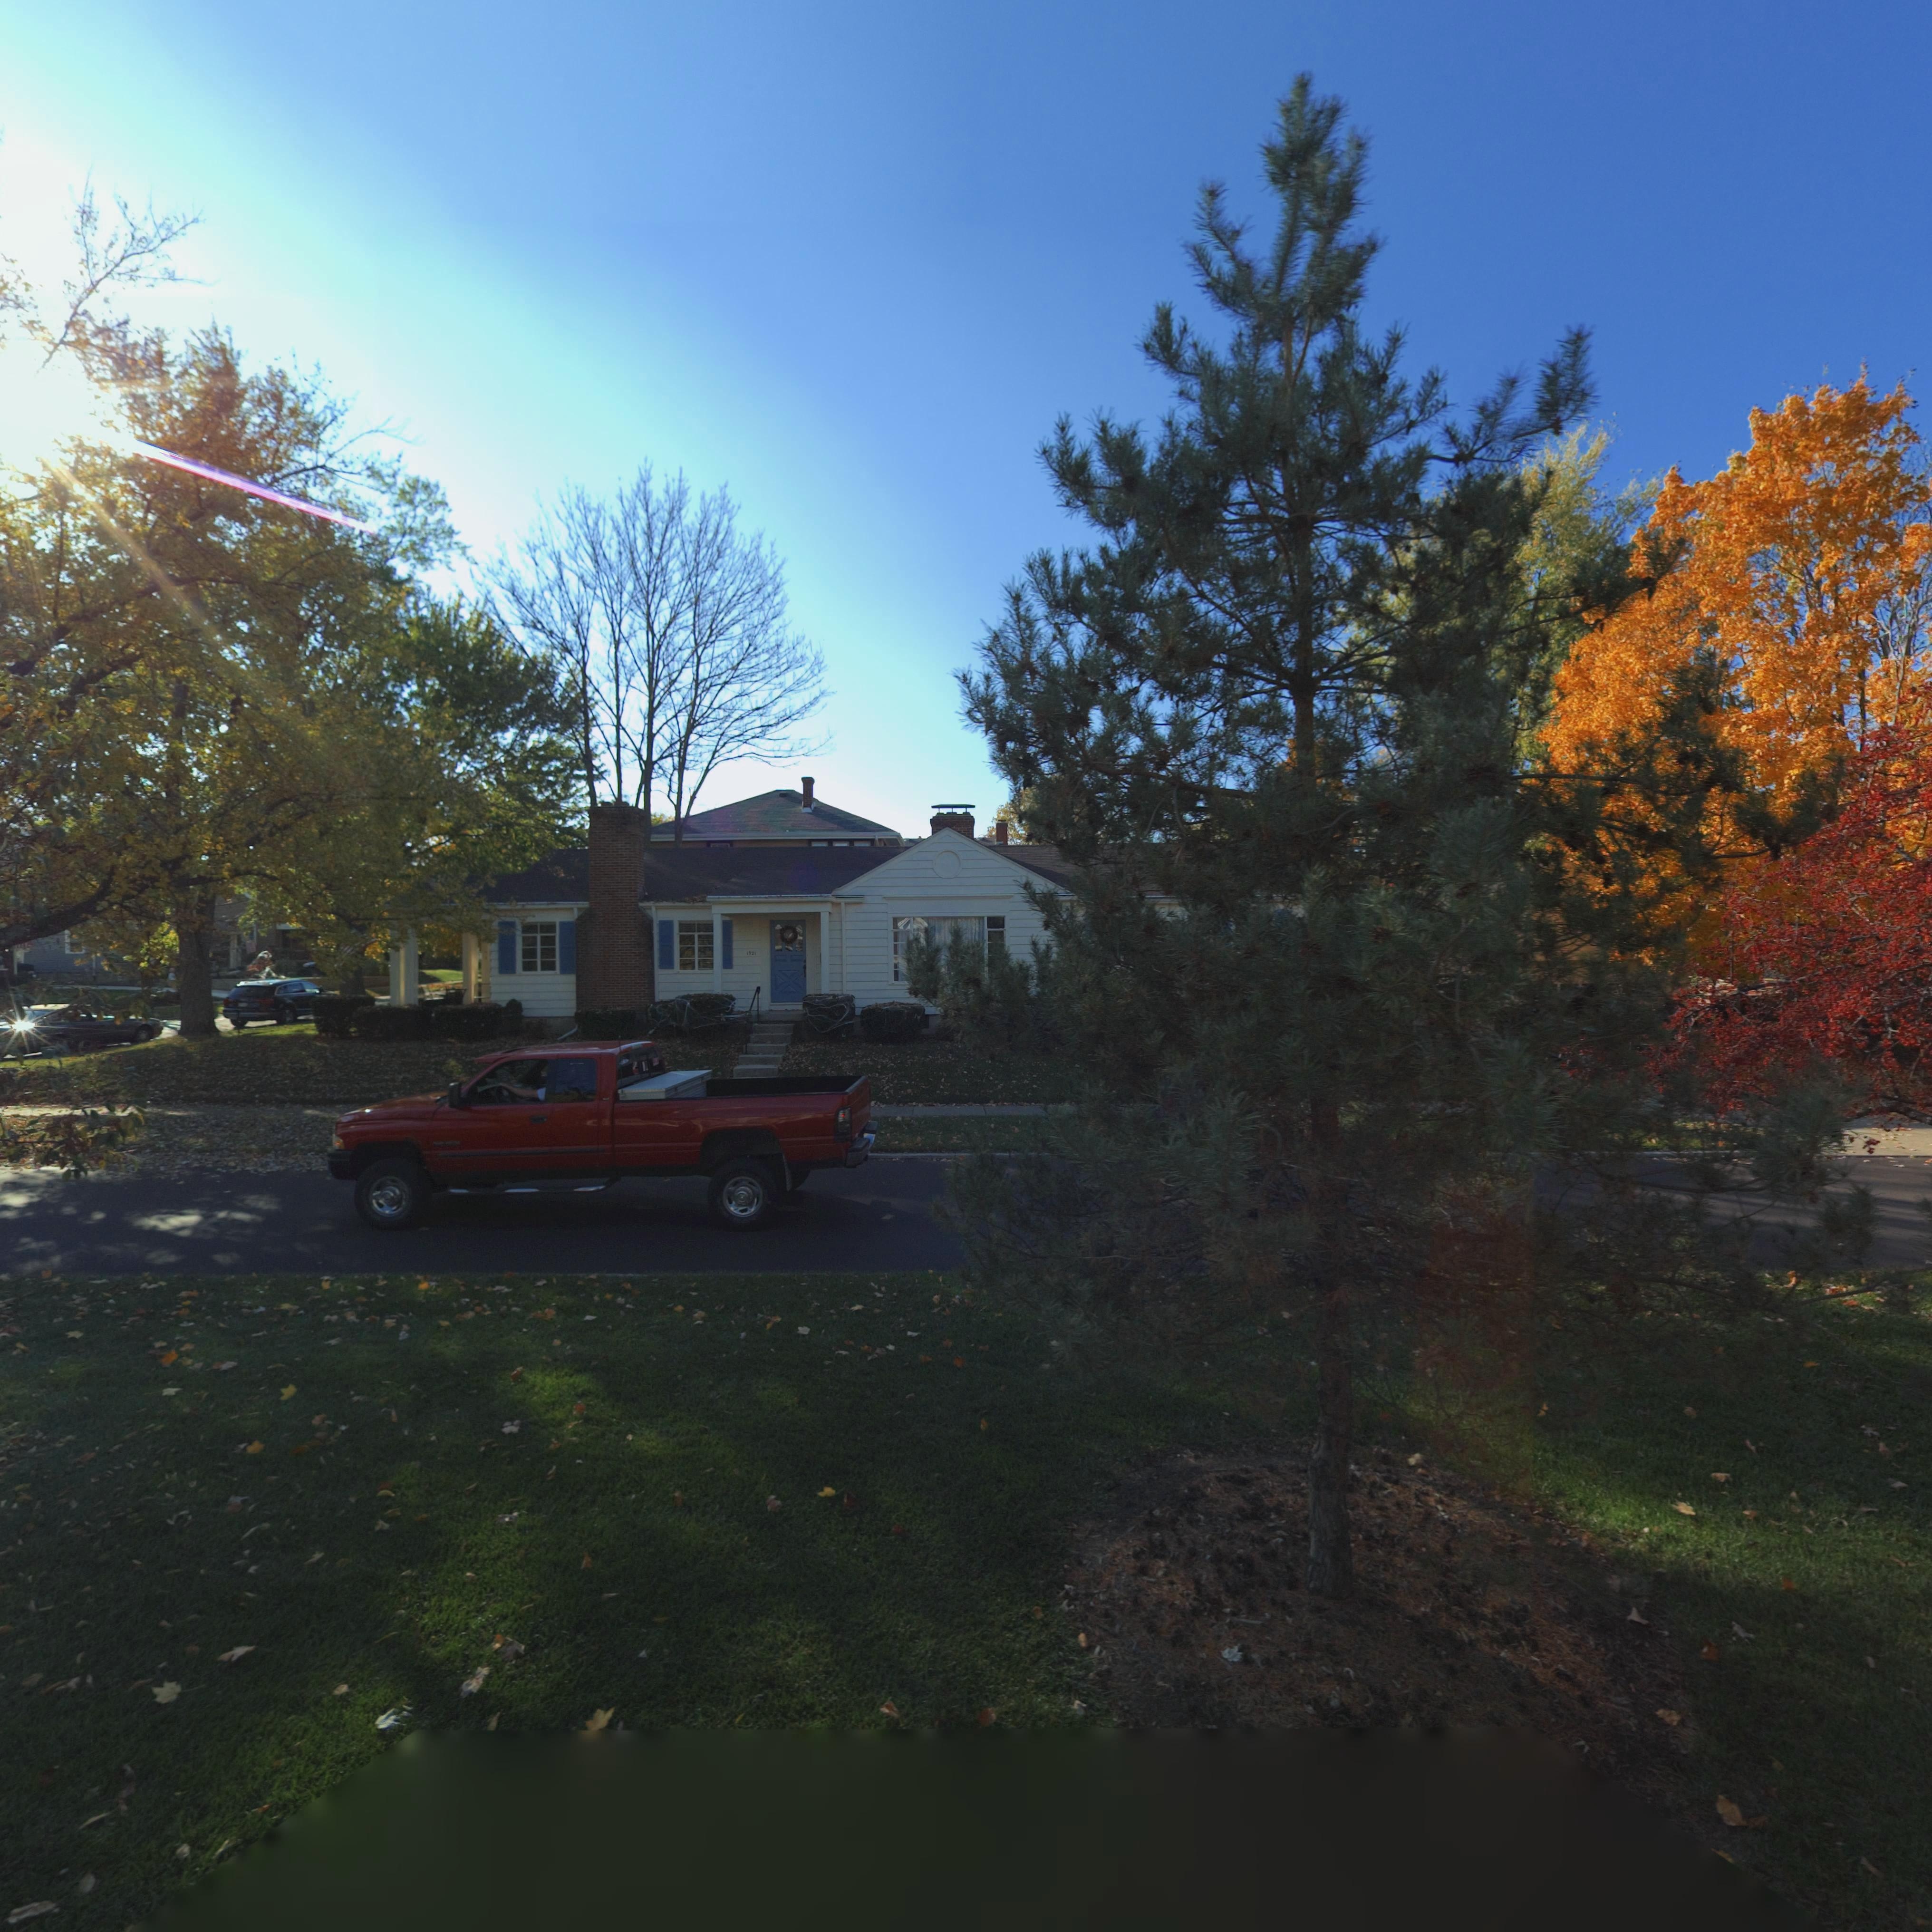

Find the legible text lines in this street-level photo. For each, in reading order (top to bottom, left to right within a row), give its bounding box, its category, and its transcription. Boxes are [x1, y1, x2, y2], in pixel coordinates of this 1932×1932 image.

[746, 950, 756, 956] StreetNumber: 1921